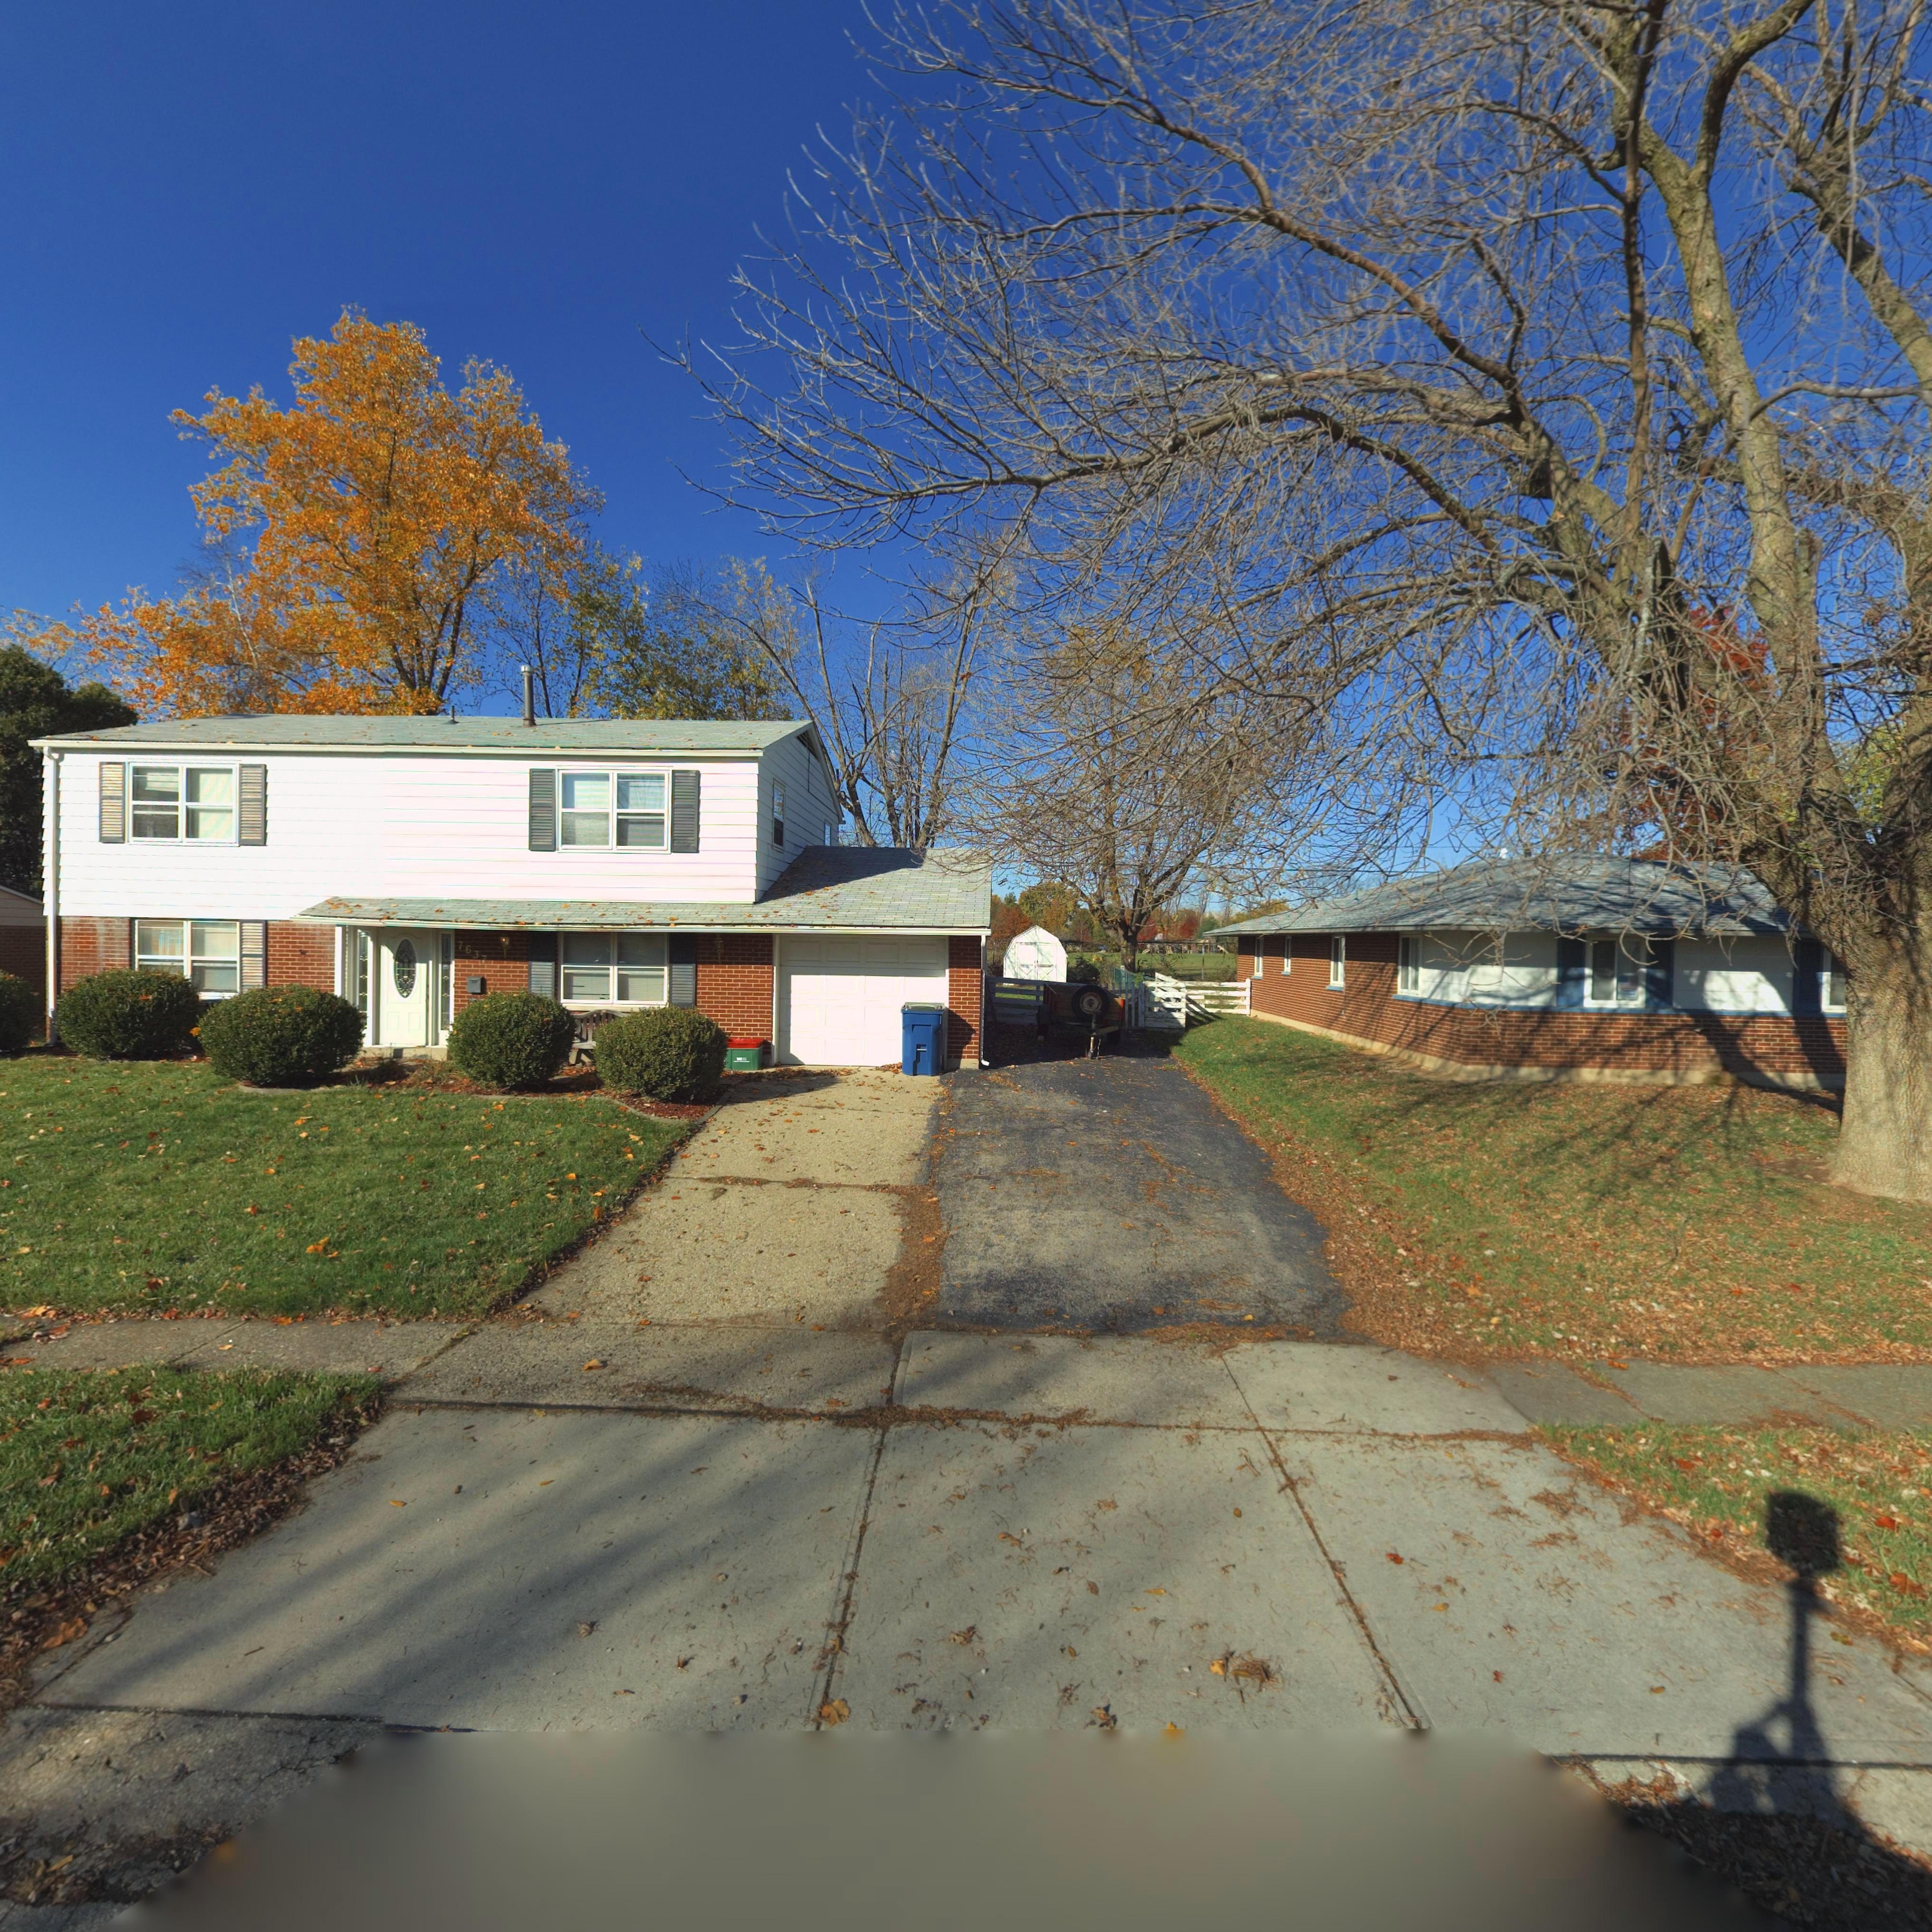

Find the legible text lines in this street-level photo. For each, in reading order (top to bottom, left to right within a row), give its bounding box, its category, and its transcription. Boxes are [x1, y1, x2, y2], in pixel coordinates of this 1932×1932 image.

[457, 940, 489, 965] StreetNumber: 7637